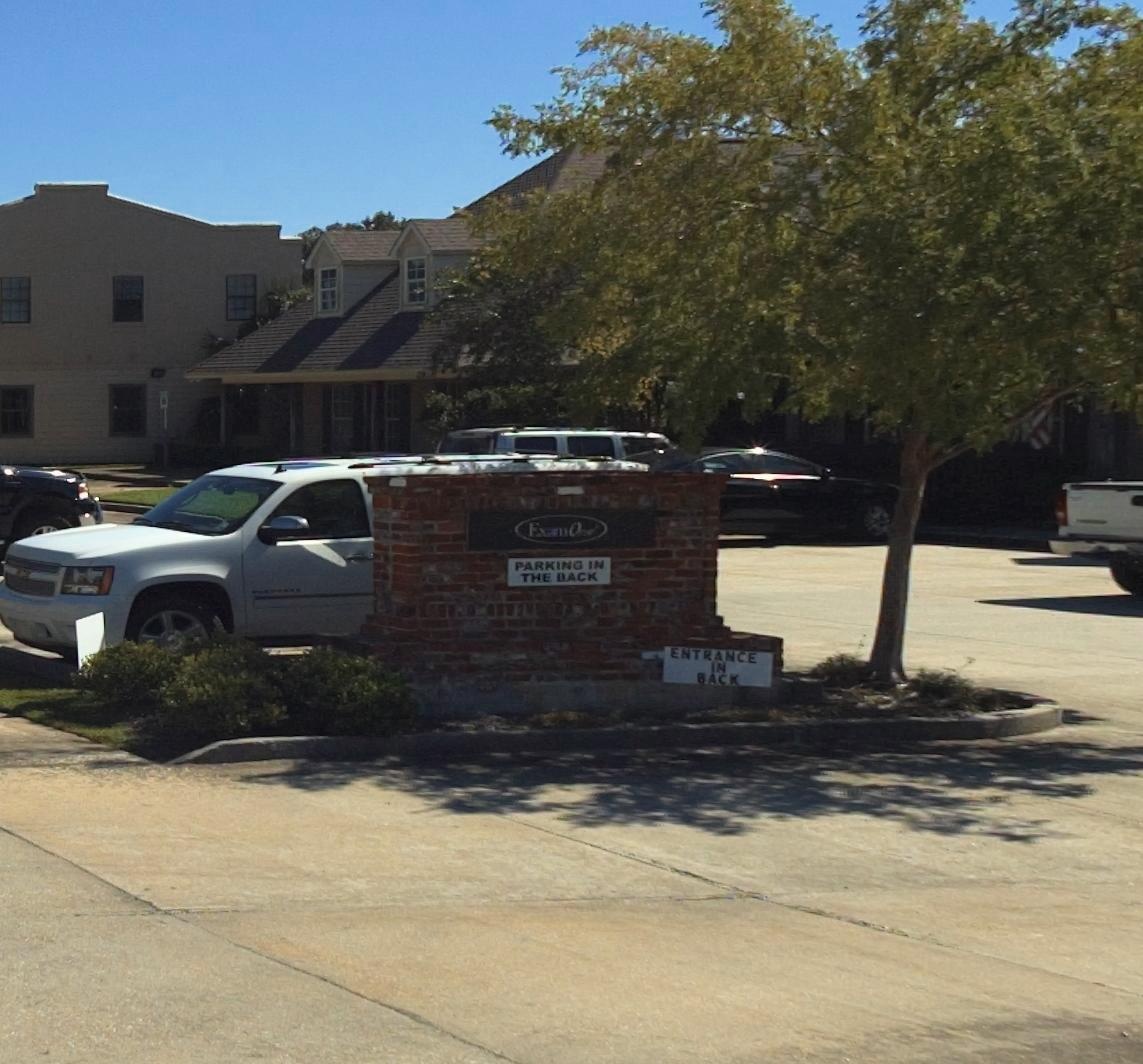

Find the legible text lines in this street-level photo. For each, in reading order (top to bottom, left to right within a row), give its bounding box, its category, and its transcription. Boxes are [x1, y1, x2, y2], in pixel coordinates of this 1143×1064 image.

[526, 519, 600, 540] BusinessName: E*** O**
[513, 558, 607, 574] None: PARKING IN
[518, 569, 601, 586] None: THE BACK
[668, 644, 760, 666] None: ENTRANCE
[708, 658, 730, 676] None: IN
[695, 669, 744, 688] None: BACK